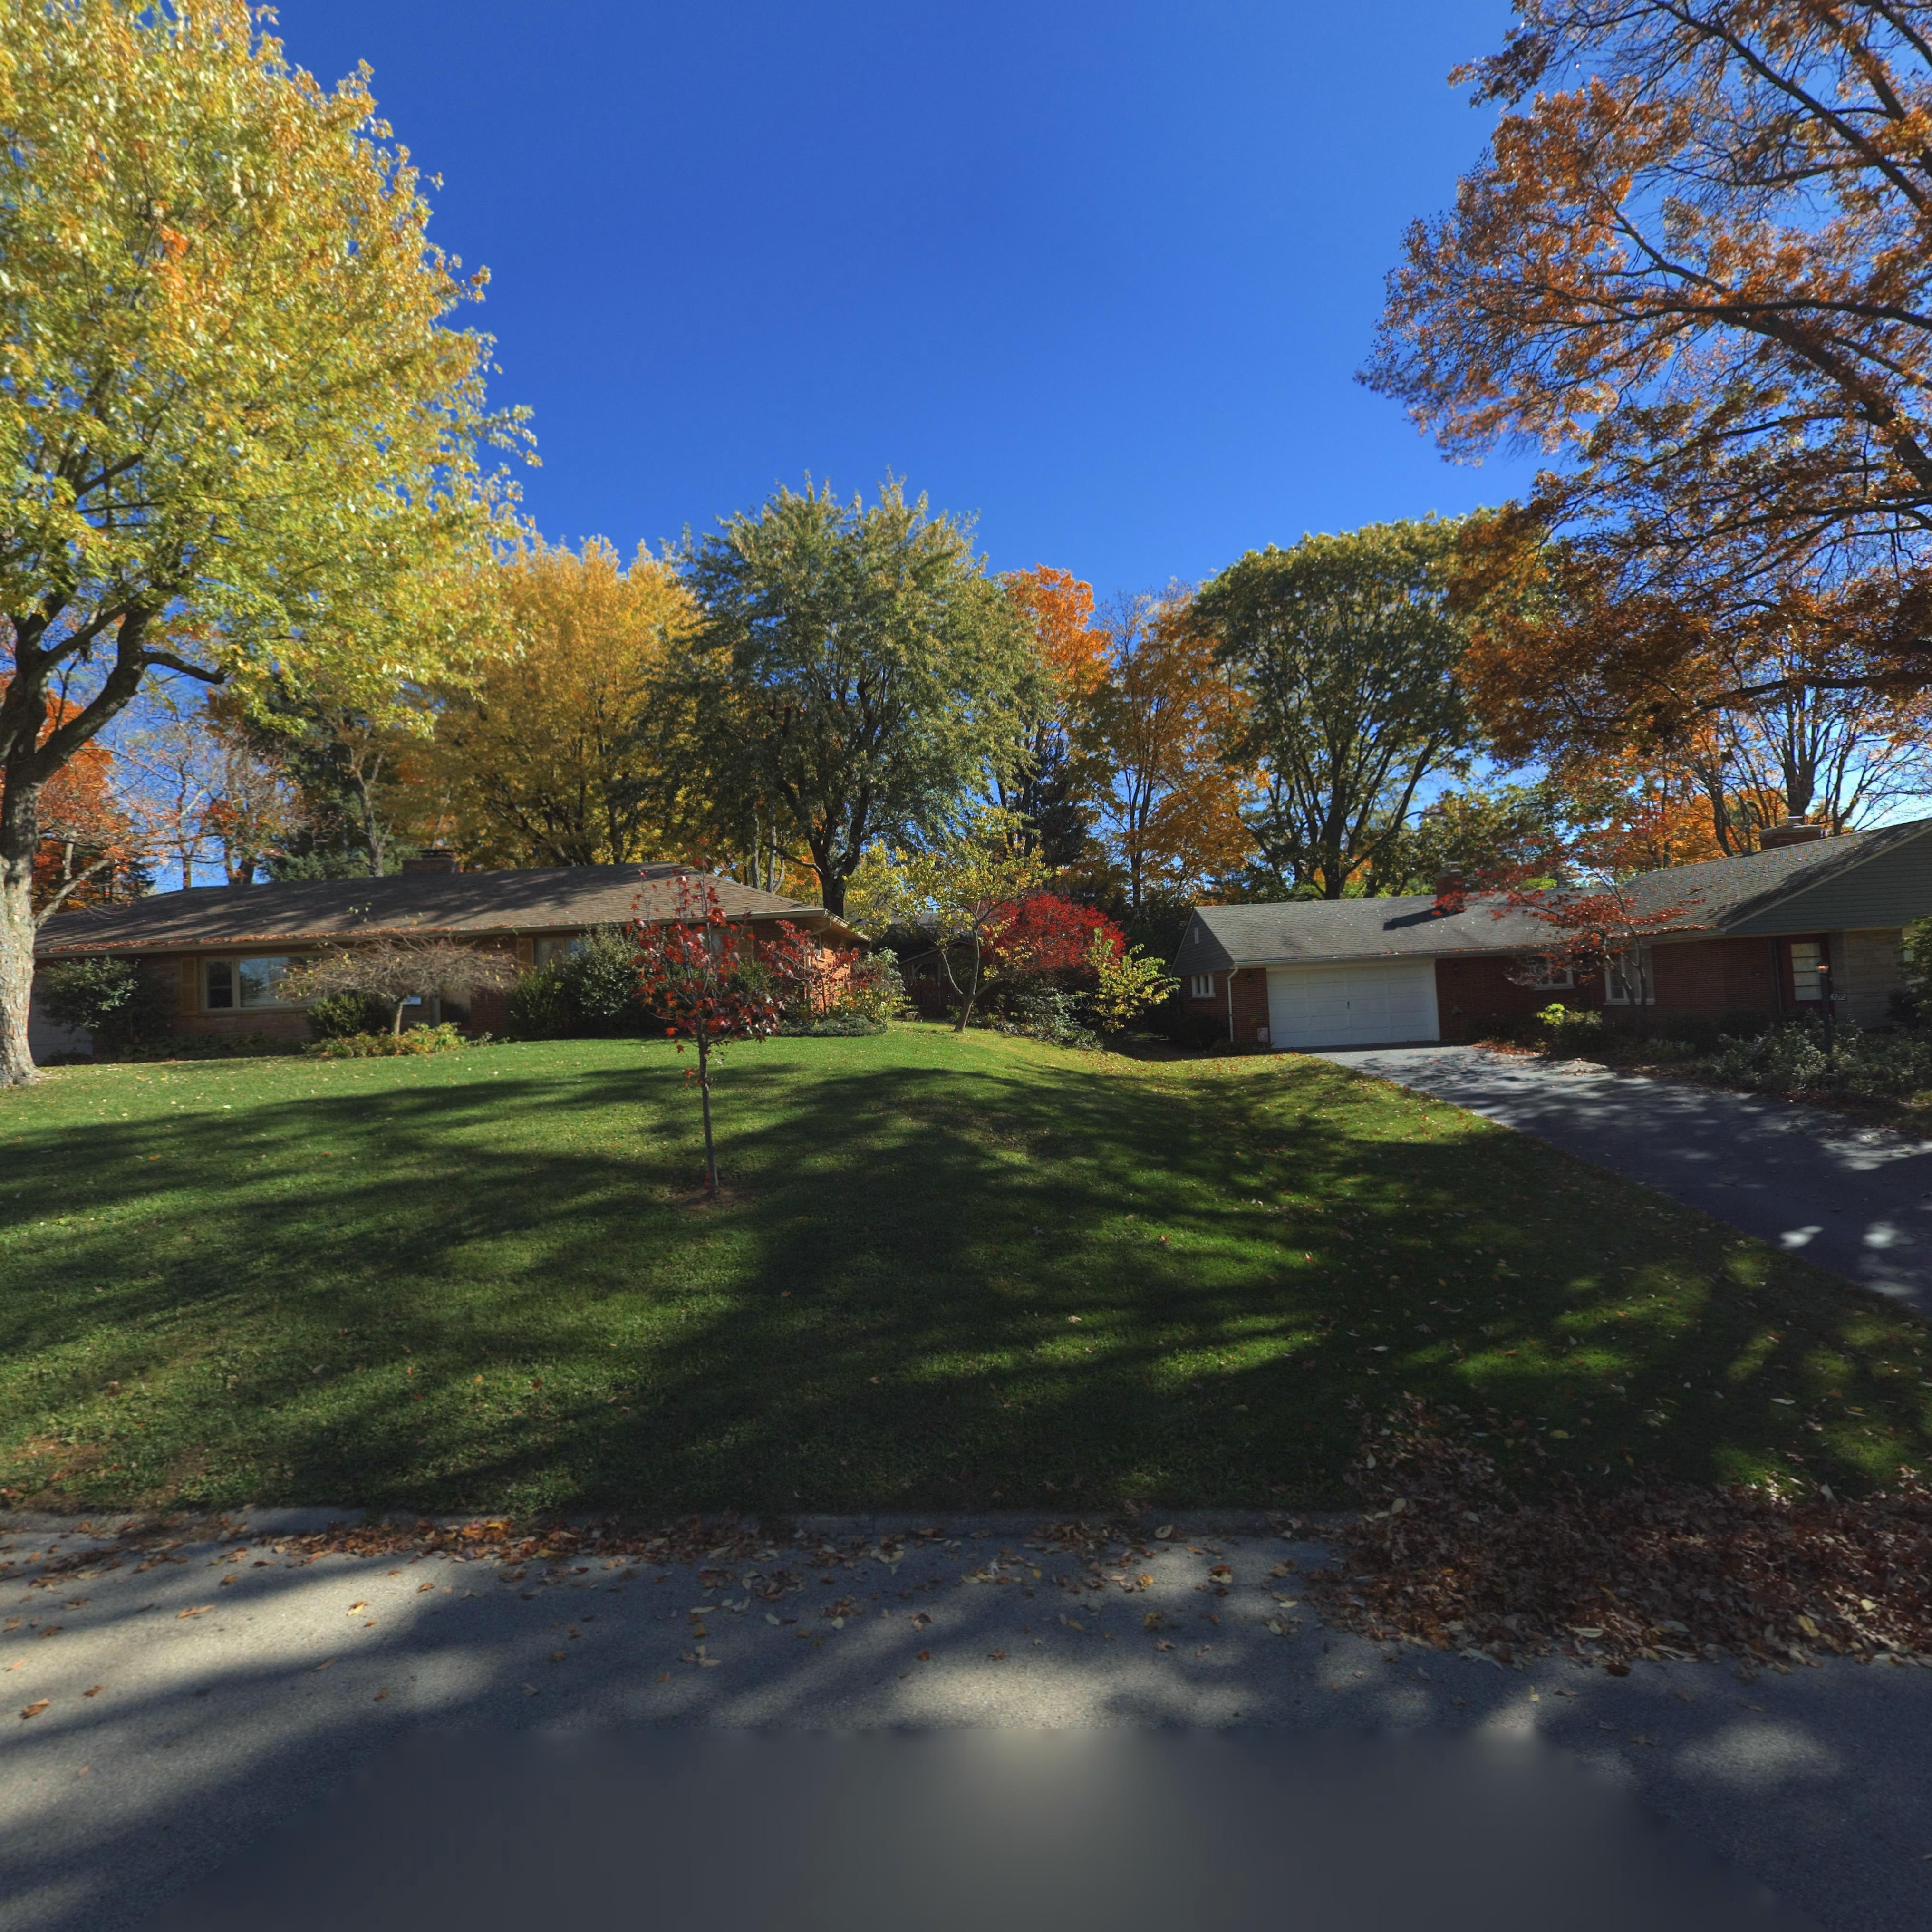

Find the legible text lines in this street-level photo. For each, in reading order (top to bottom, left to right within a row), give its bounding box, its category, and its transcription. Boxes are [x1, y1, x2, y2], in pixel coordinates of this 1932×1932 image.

[1829, 993, 1847, 1001] StreetNumber: 4*02